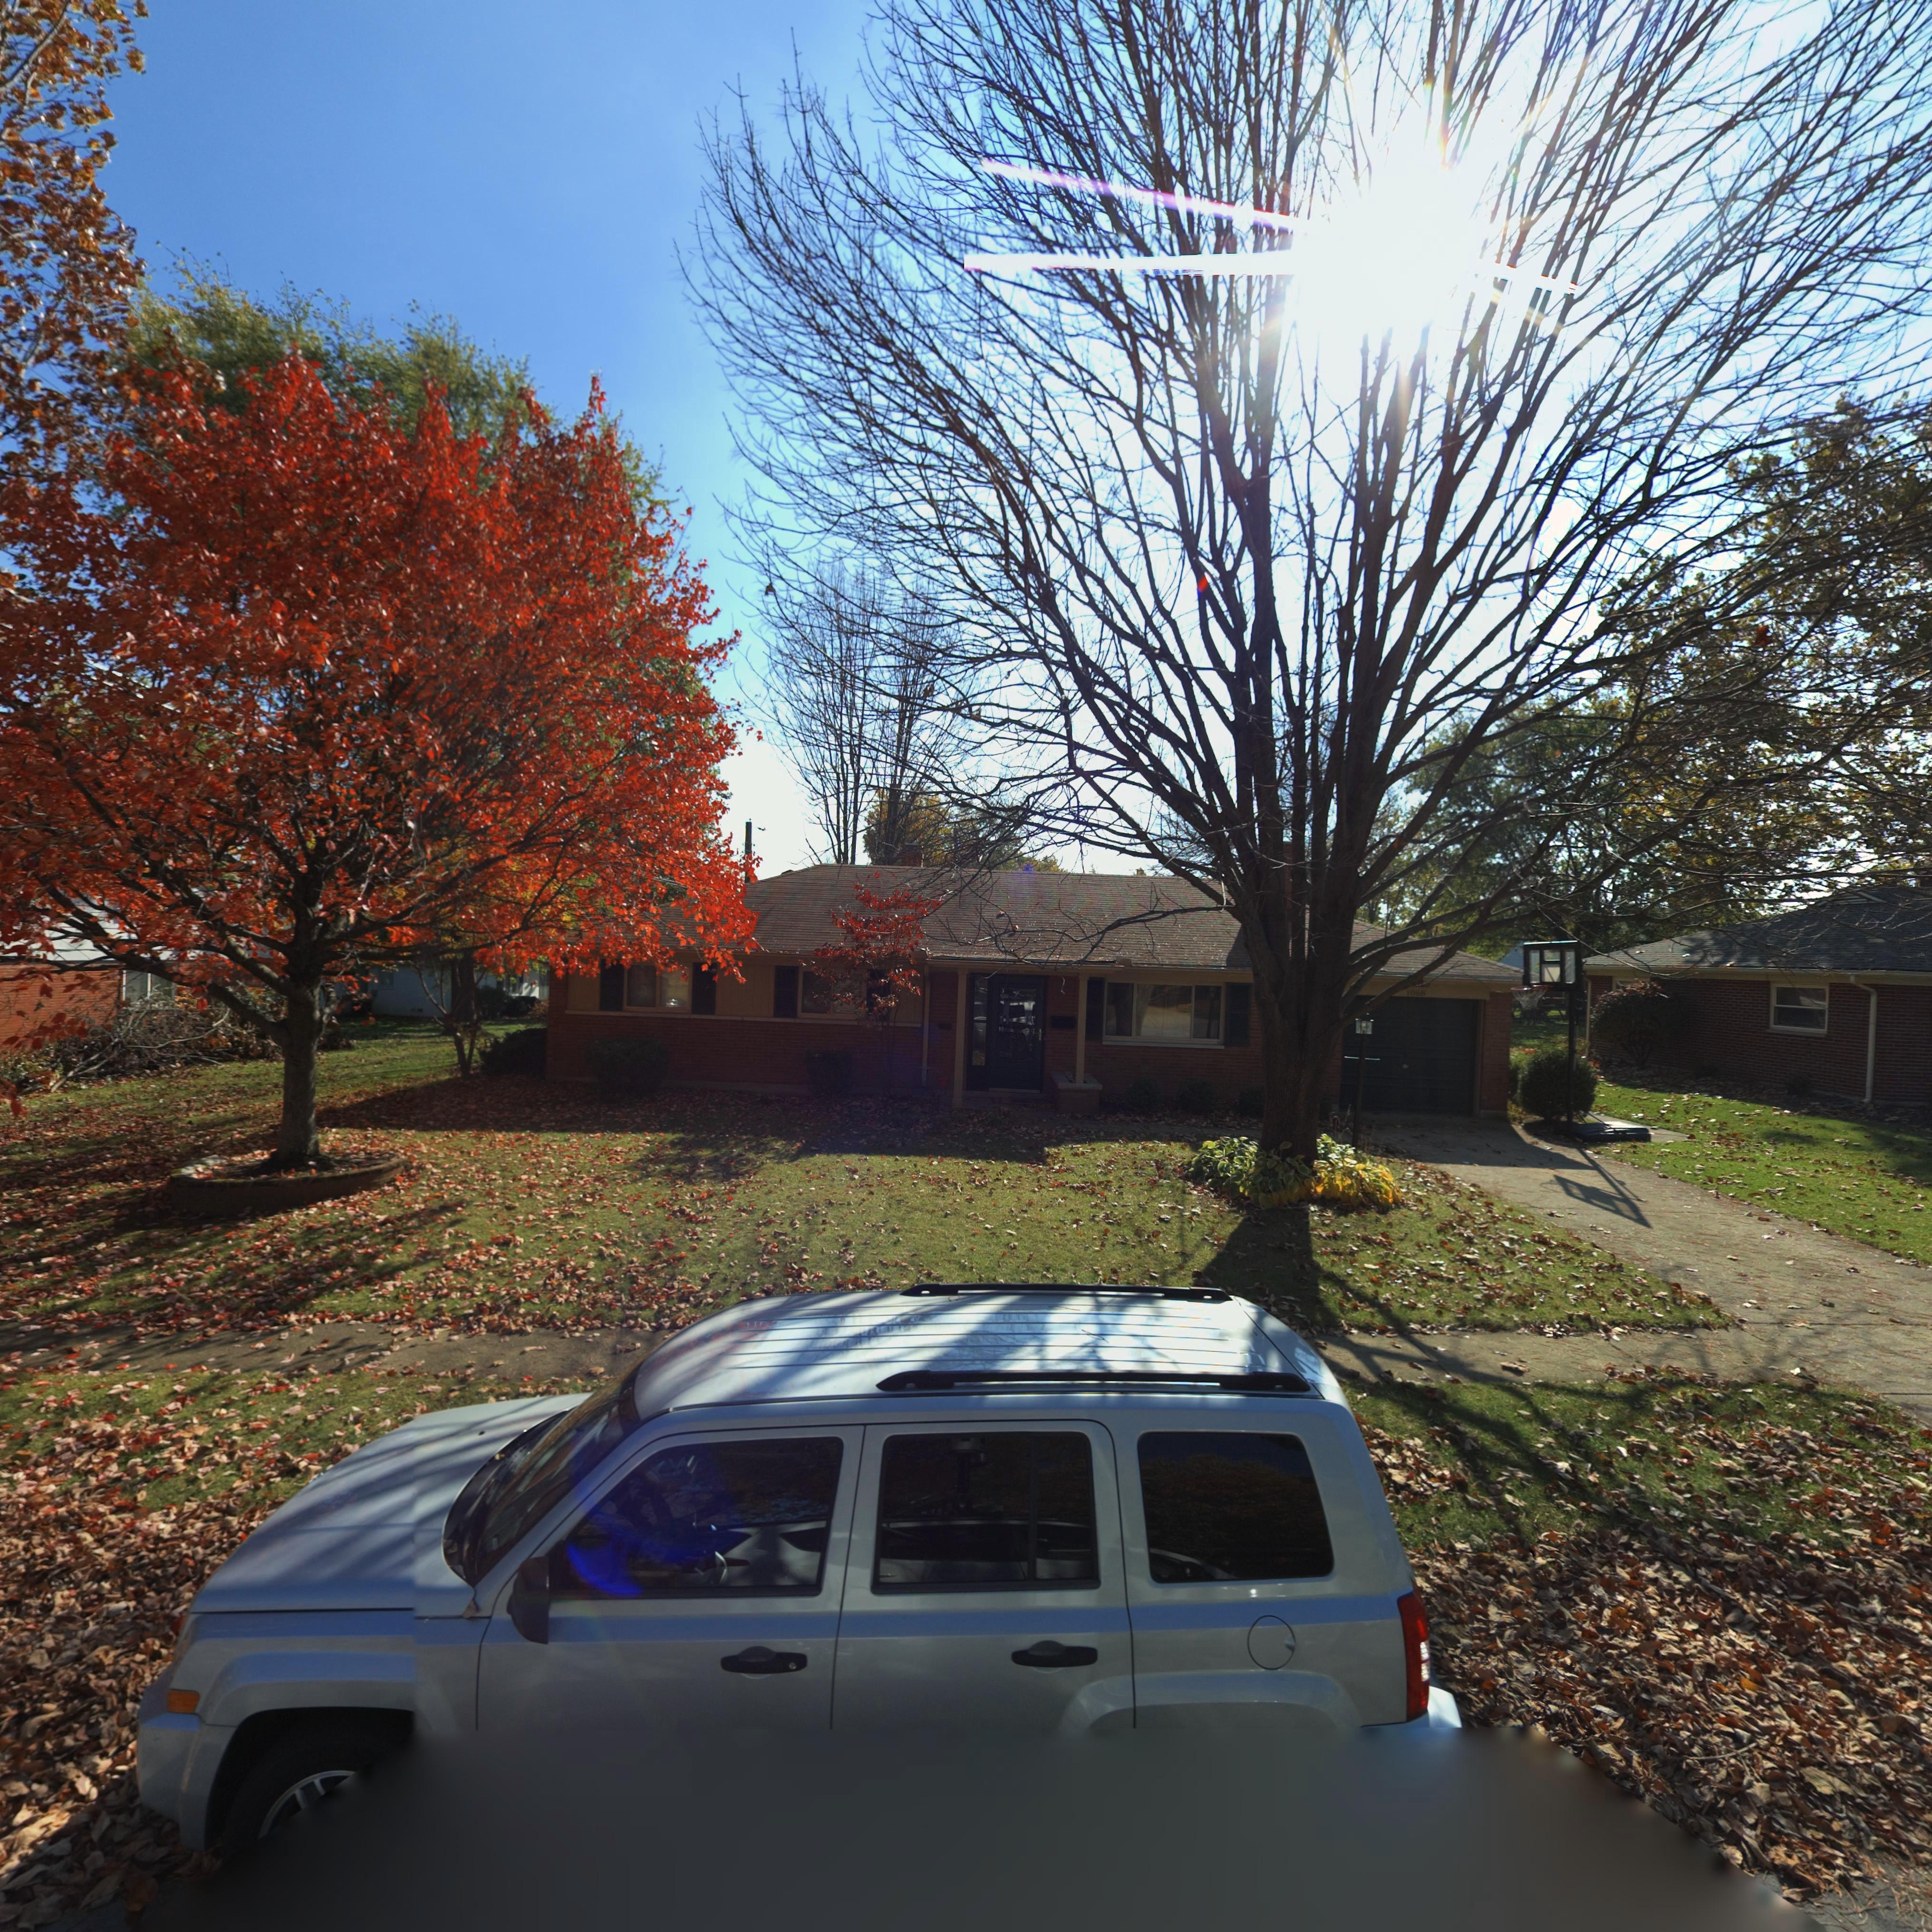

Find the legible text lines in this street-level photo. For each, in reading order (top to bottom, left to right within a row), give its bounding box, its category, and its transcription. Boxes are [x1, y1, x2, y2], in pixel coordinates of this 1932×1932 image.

[1406, 989, 1426, 996] StreetNumber: 1068